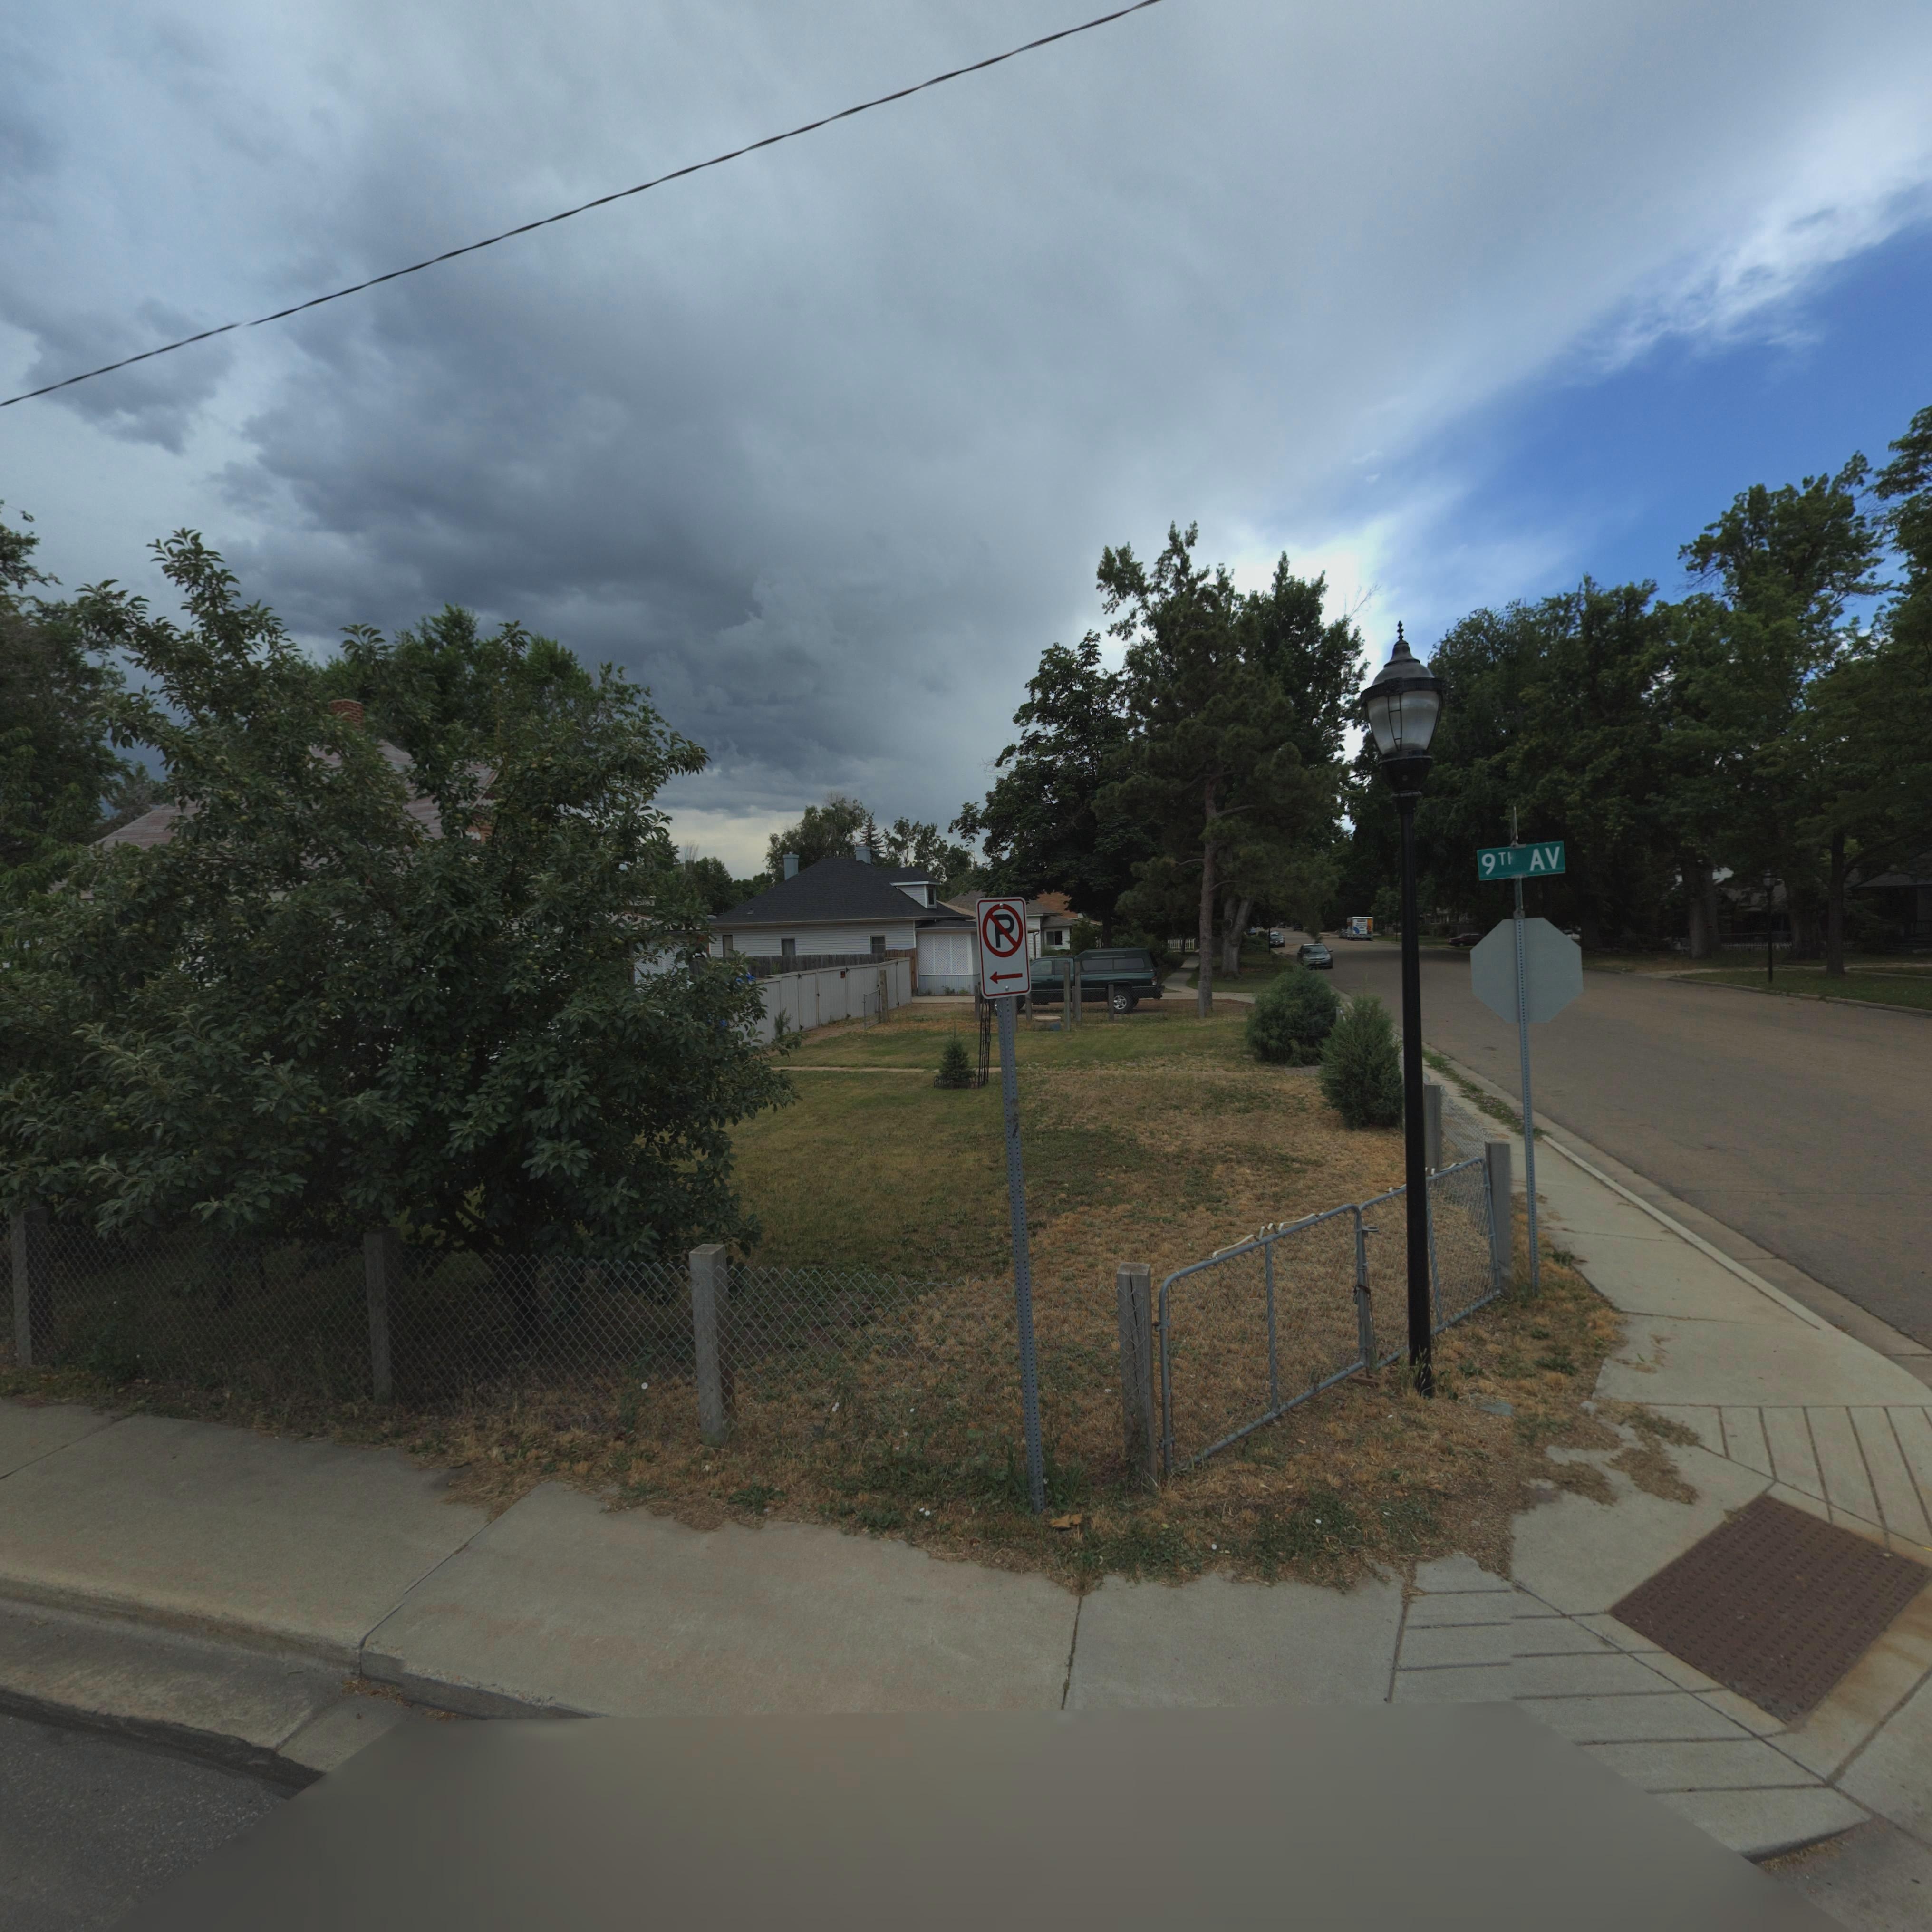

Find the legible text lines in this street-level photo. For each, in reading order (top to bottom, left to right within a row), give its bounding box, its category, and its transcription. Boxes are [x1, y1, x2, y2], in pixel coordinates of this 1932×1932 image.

[1480, 846, 1560, 875] StreetName: 9TH AV